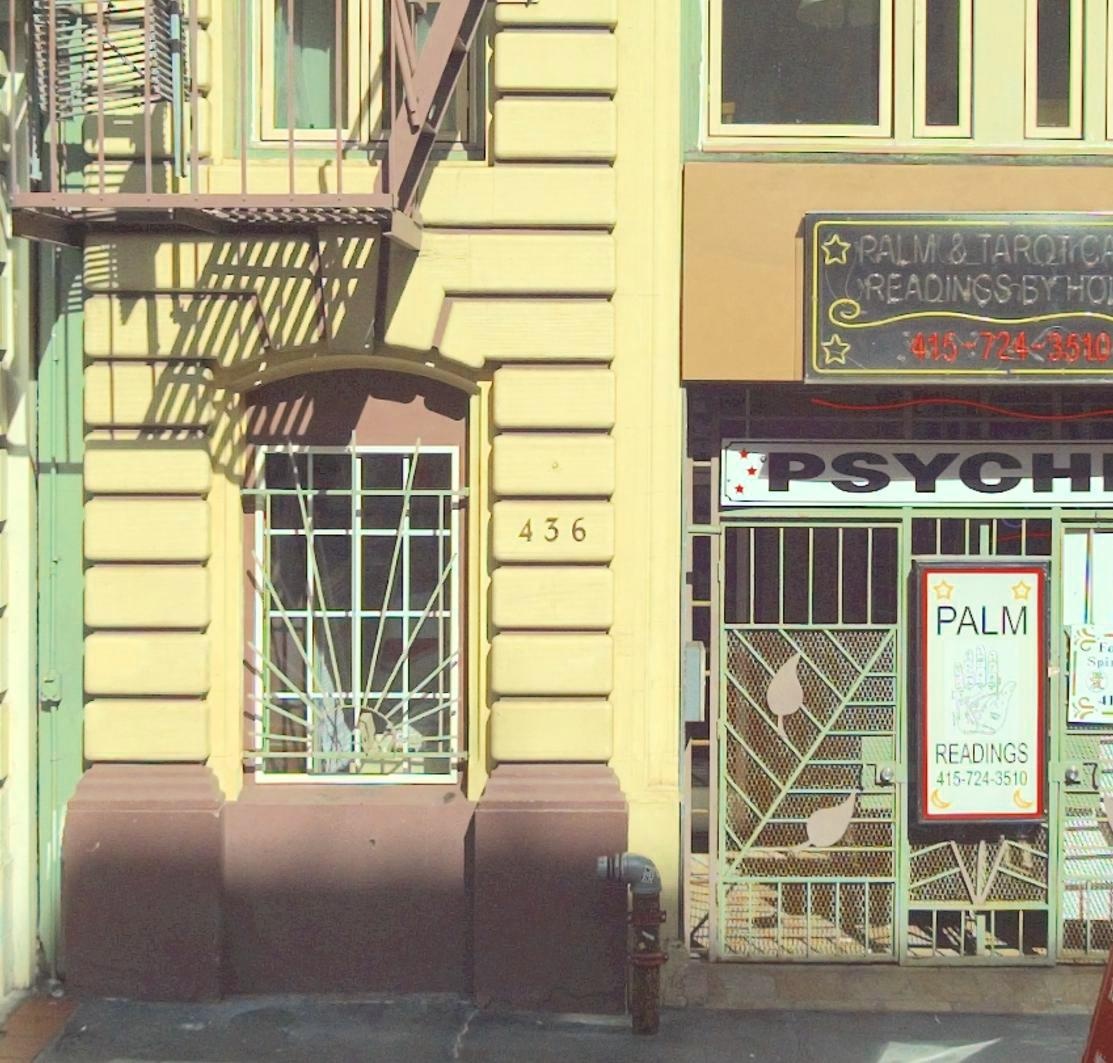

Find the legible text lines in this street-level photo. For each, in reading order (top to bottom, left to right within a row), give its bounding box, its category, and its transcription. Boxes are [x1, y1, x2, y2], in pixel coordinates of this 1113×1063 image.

[852, 228, 1107, 273] BusinessName: PALM & TATO*C
[857, 265, 1111, 311] BusinessName: READINGS BY HO
[906, 328, 1112, 367] None: 415-724-3510
[758, 440, 1101, 498] BusinessName: PSYCH
[517, 511, 592, 547] StreetNumber: 436
[935, 600, 1032, 641] None: PALM
[1084, 653, 1111, 674] None: Spi
[1095, 637, 1110, 657] None: F
[930, 738, 1033, 769] None: READINGS
[930, 764, 1034, 790] None: 415-724-3510